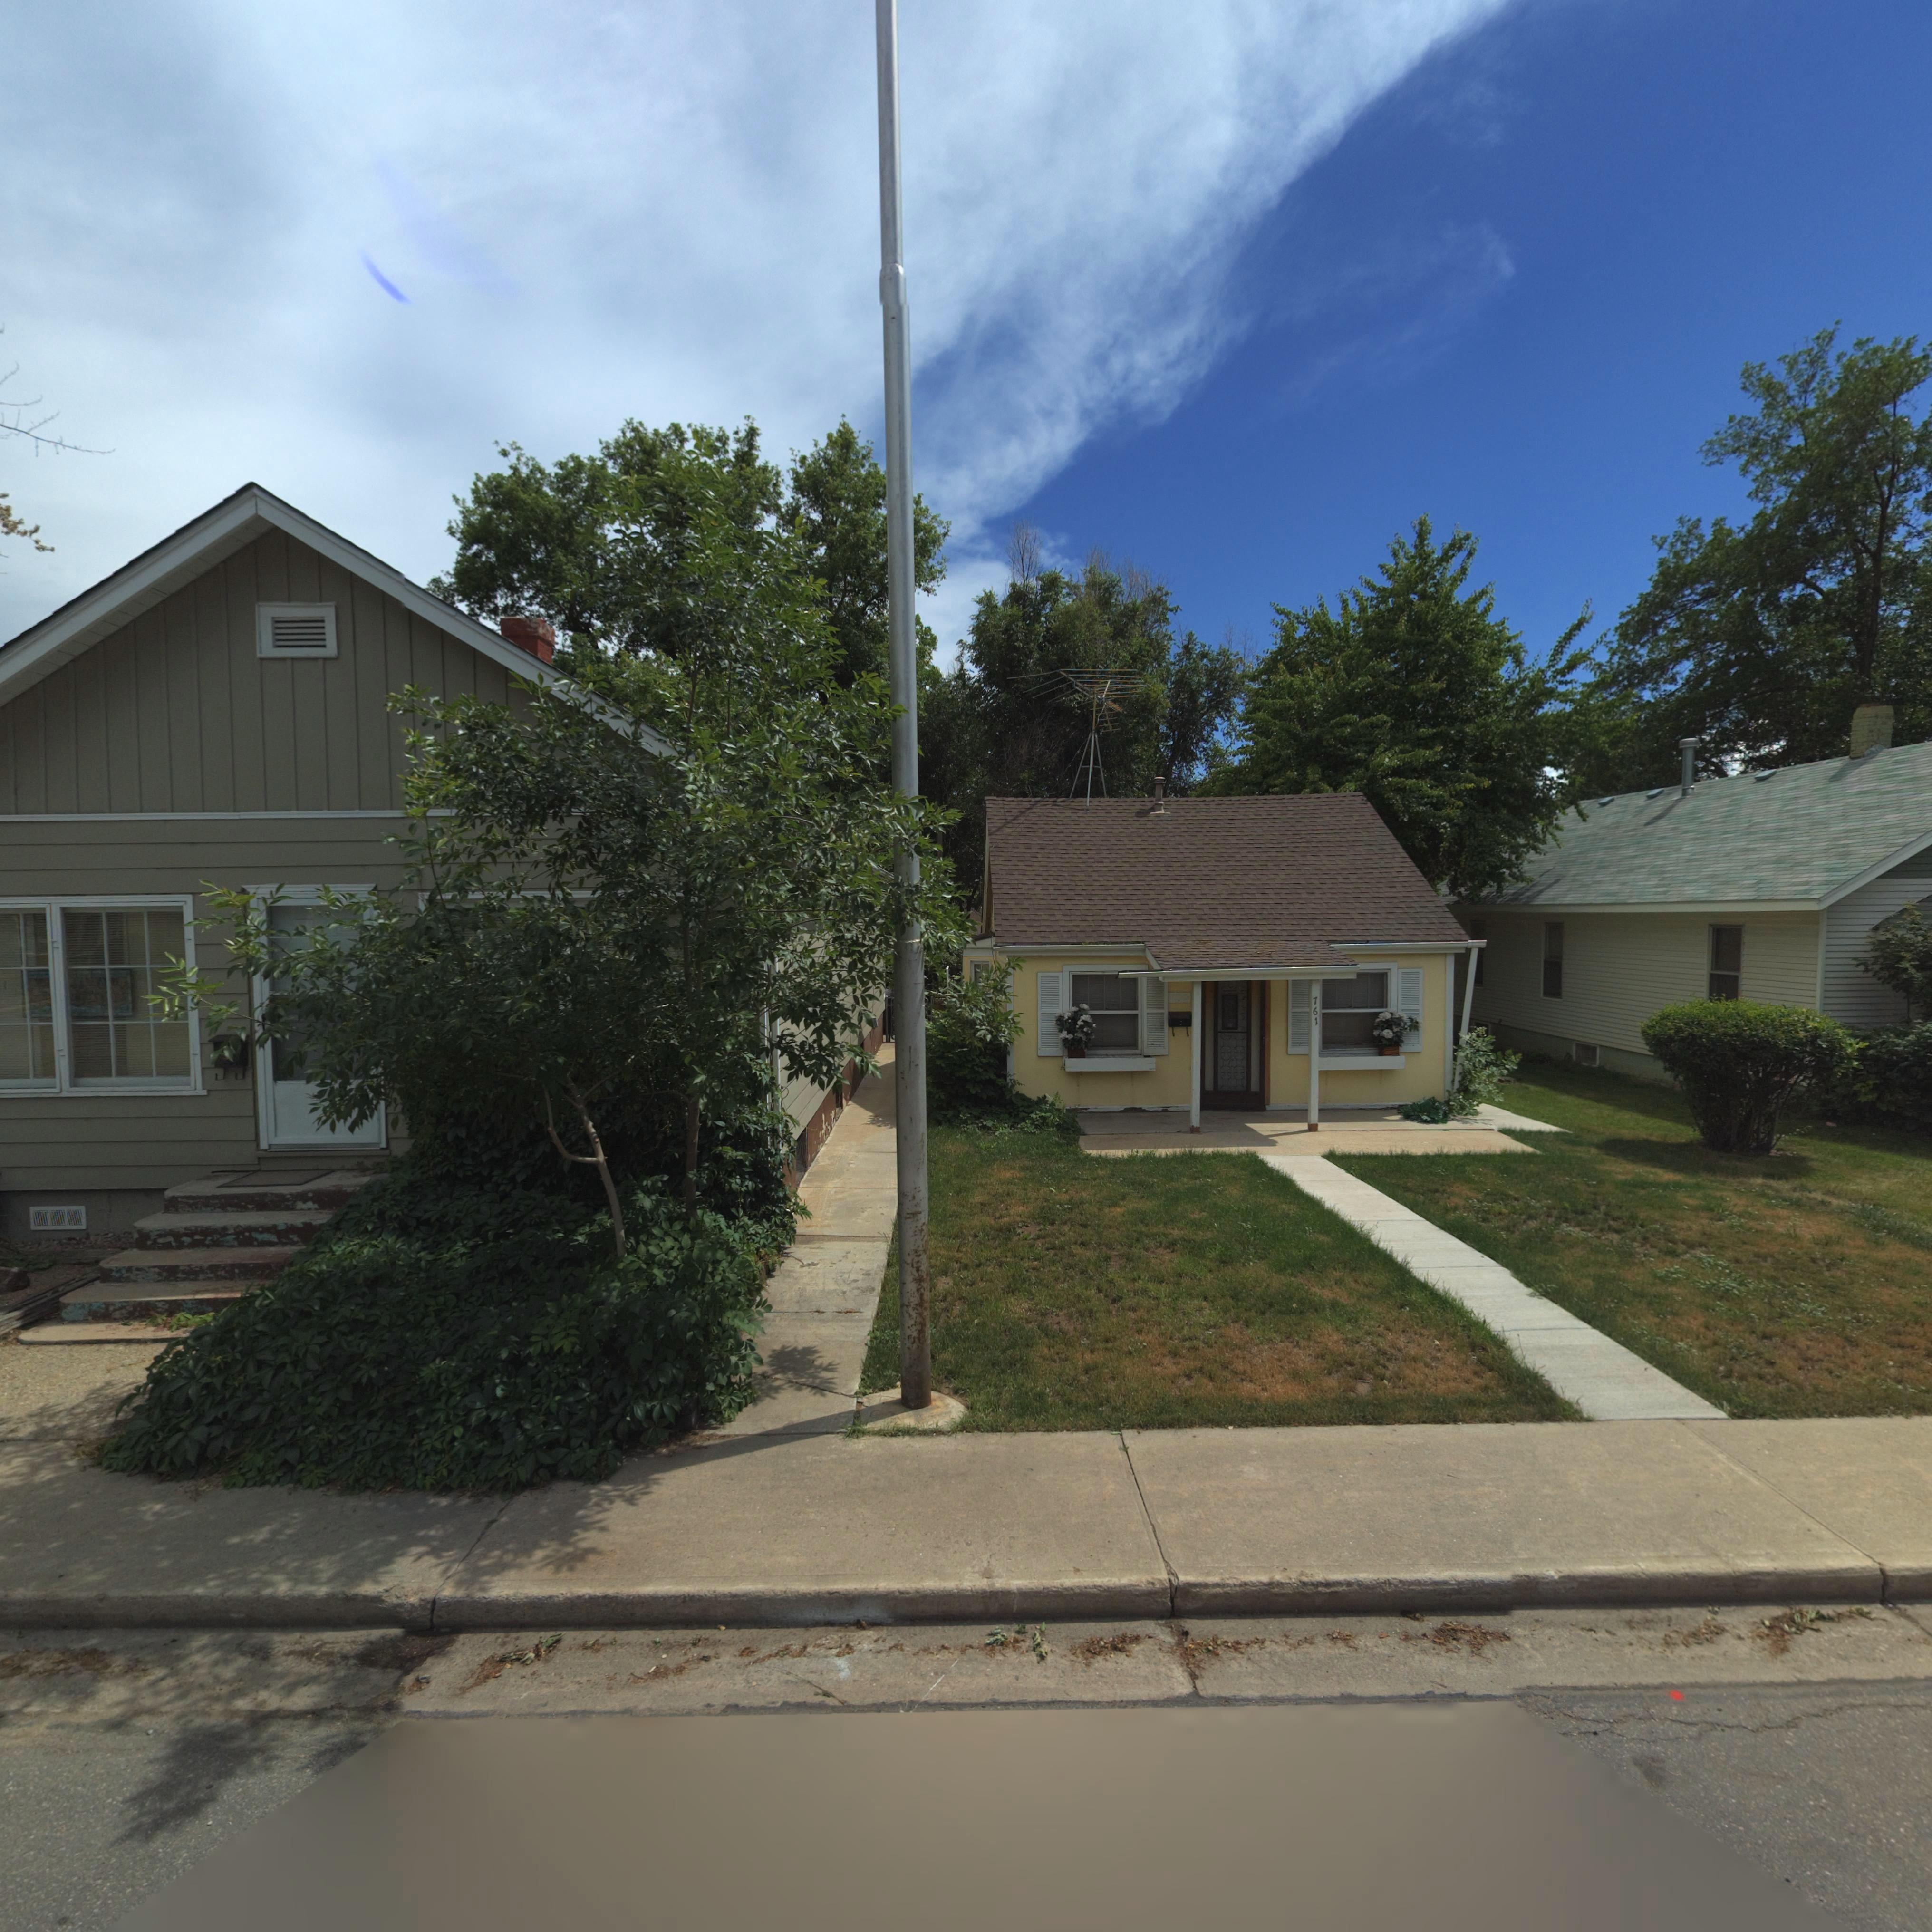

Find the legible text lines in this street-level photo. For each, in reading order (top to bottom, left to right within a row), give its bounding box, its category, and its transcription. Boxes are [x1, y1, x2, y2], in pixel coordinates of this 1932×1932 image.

[1312, 996, 1318, 1025] StreetNumber: 761